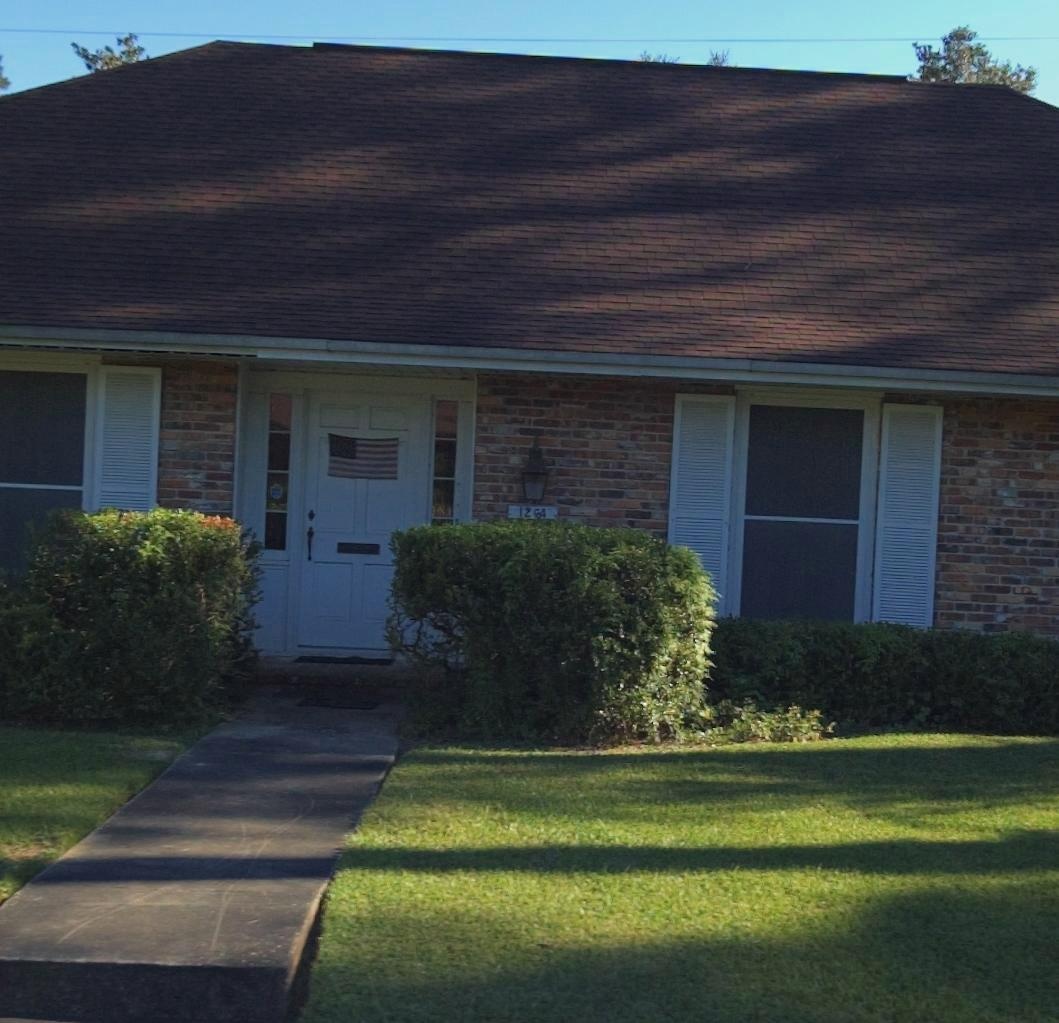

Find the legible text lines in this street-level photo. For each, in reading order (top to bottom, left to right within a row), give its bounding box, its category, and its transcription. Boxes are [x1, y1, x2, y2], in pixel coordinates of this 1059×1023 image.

[518, 504, 548, 520] StreetNumber: 12 64